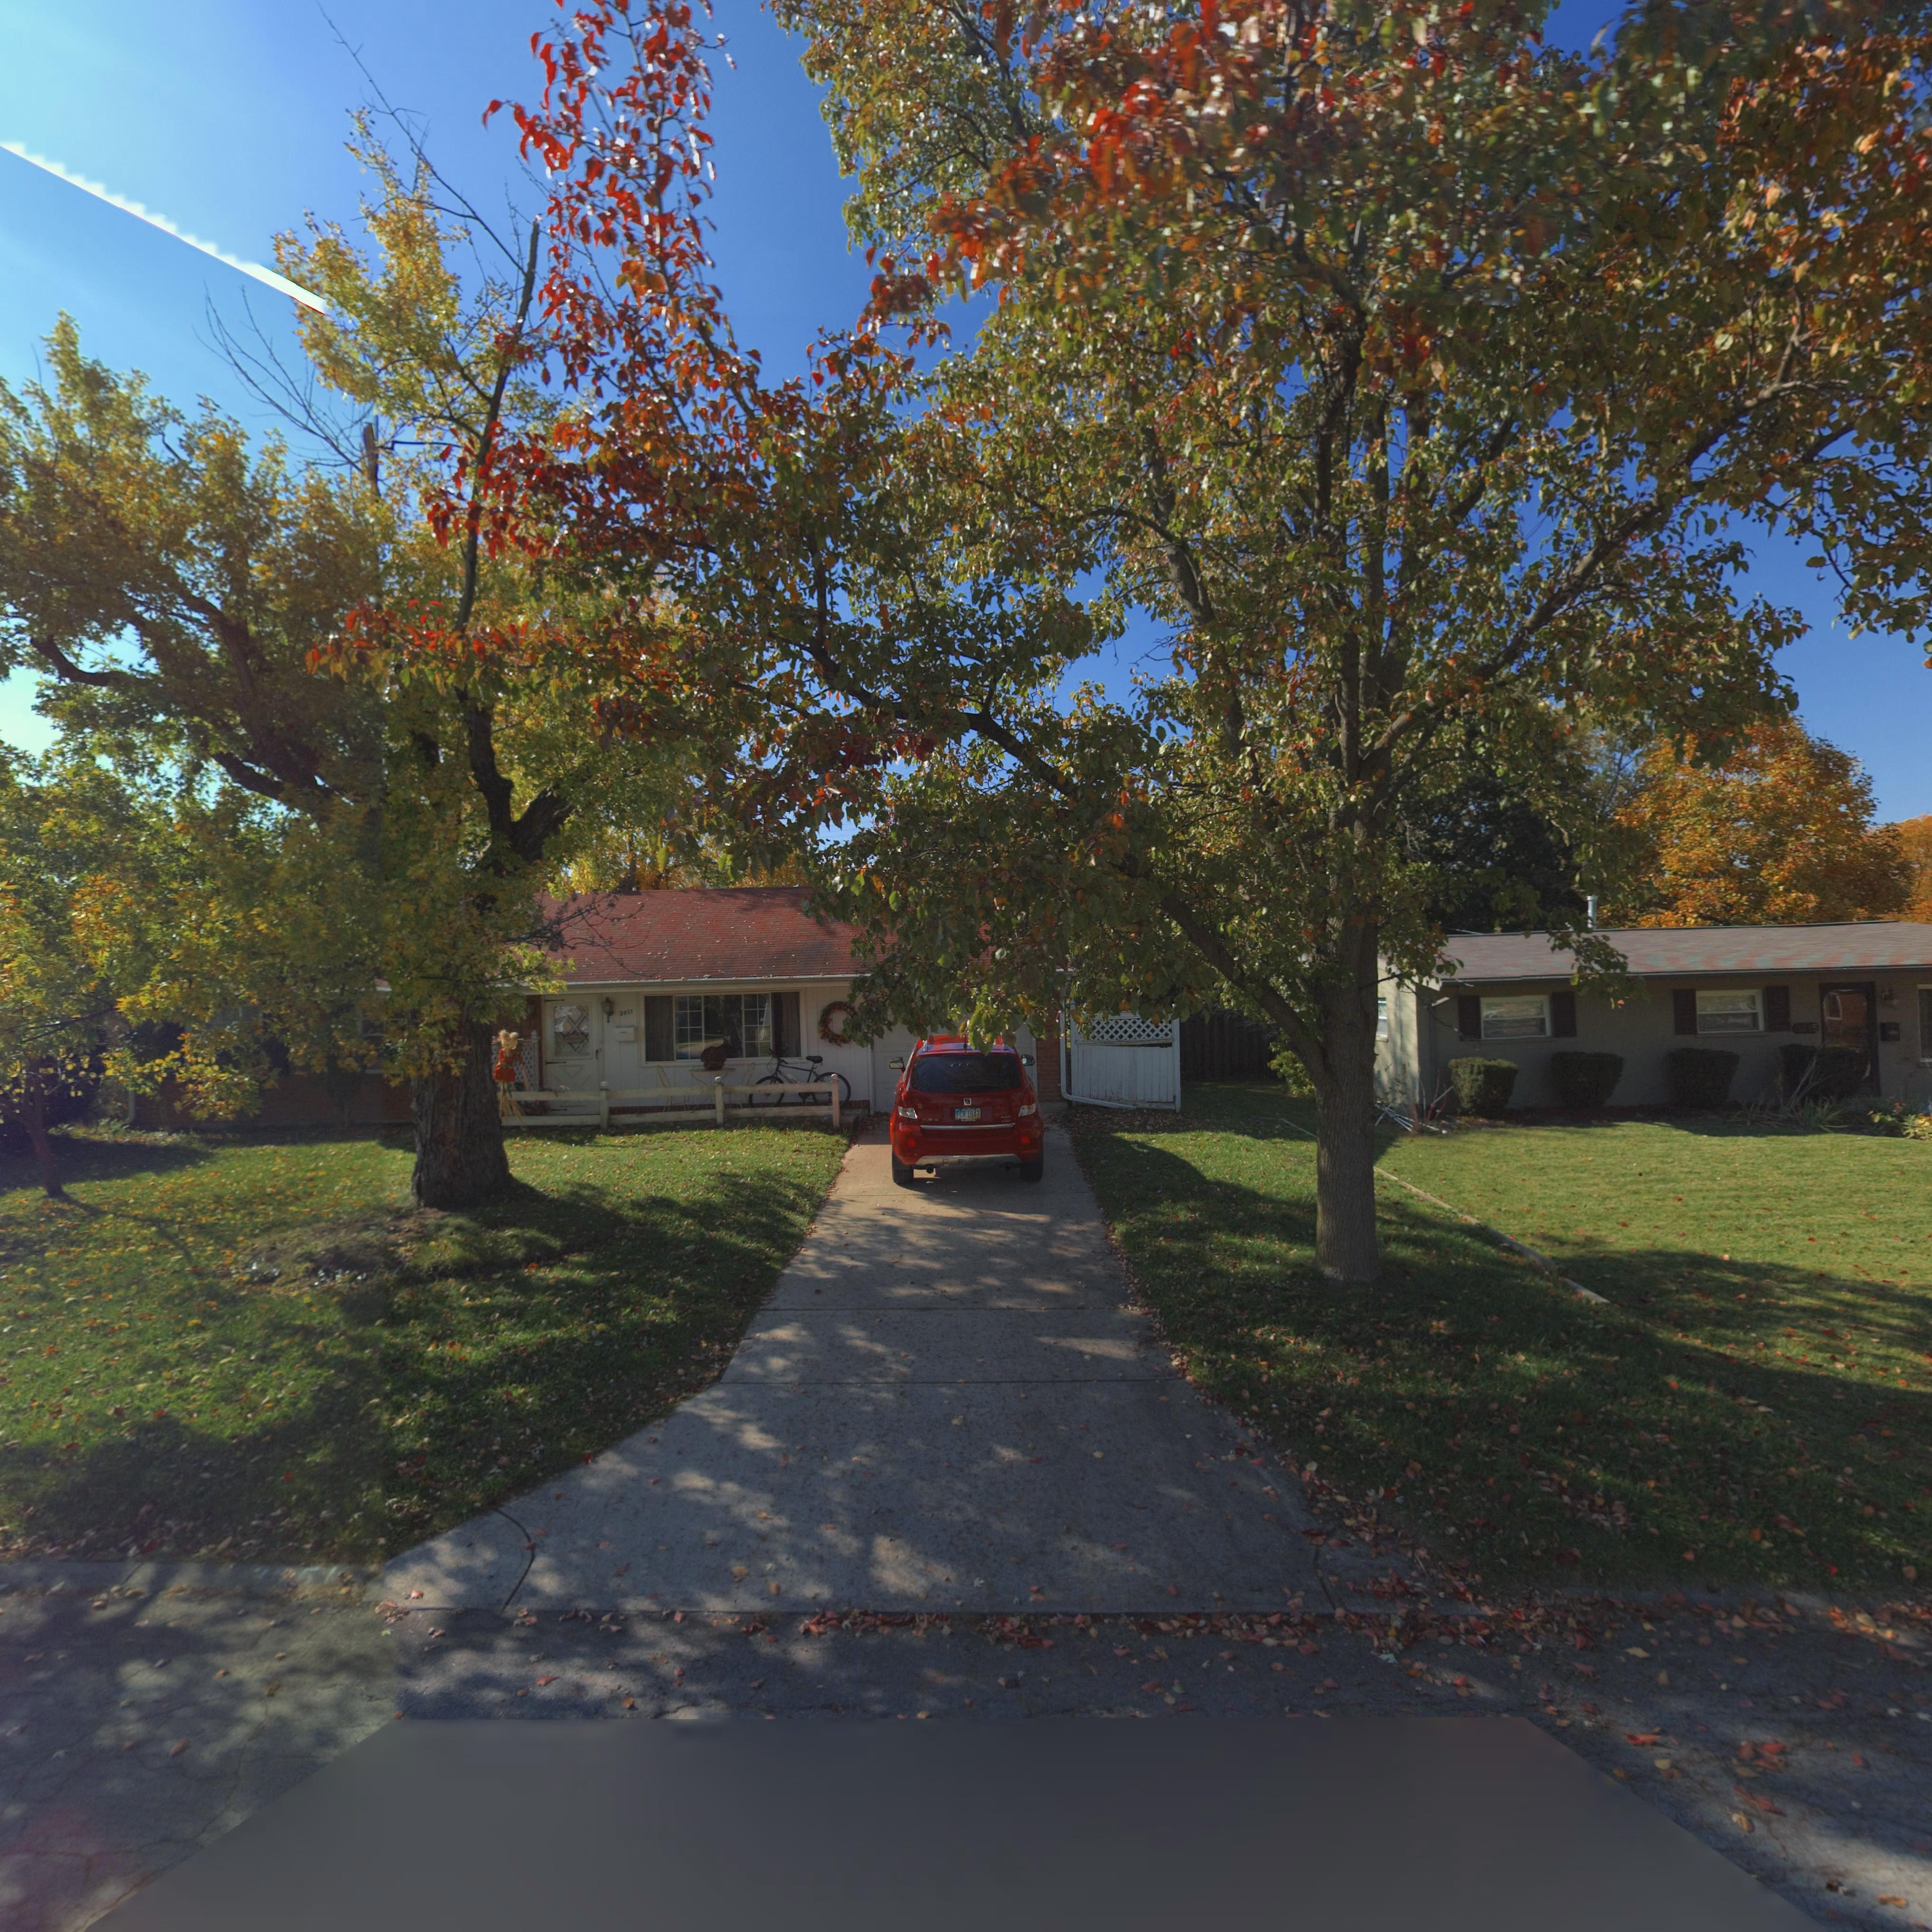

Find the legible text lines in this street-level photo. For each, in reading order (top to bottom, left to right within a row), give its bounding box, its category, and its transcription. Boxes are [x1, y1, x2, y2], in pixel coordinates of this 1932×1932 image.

[618, 1008, 633, 1017] StreetNumber: 3851
[1794, 1023, 1818, 1033] StreetNumber: ***5
[956, 1110, 980, 1118] None: FCR*1847